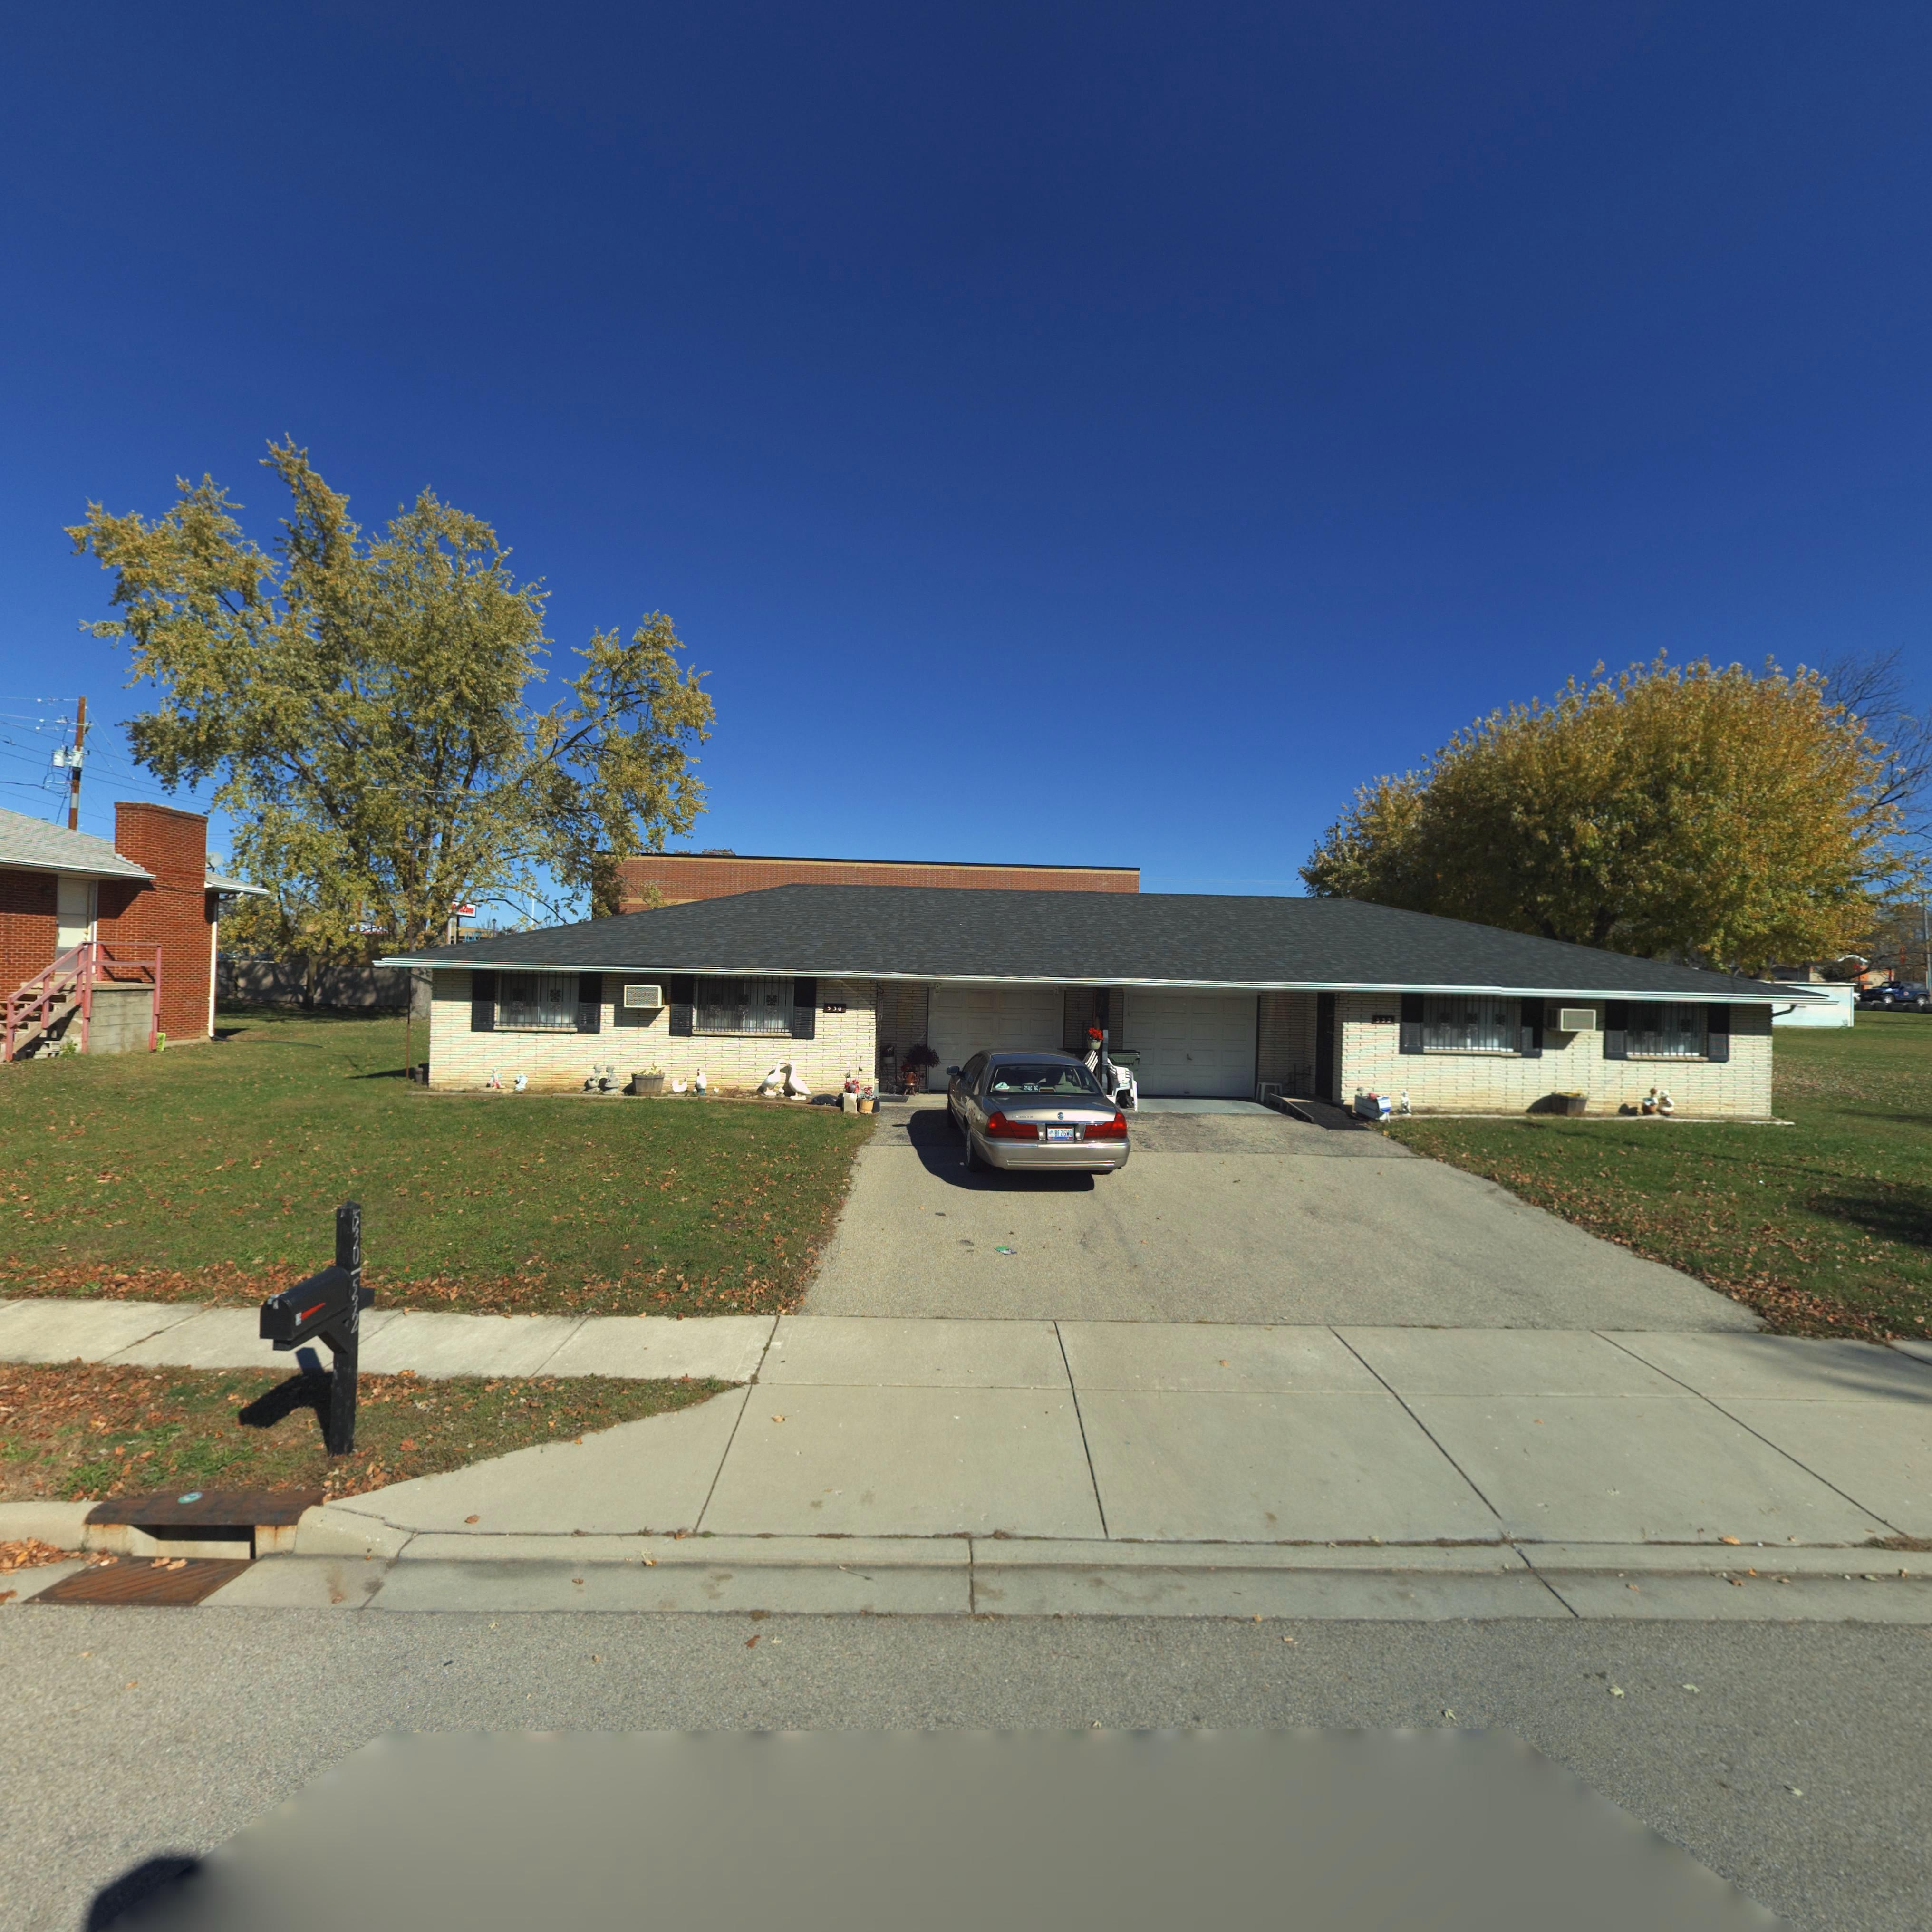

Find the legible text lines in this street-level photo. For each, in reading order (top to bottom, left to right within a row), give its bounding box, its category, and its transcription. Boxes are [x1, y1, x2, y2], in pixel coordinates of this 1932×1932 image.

[827, 1005, 842, 1012] StreetNumber: 530
[1375, 1017, 1391, 1023] StreetNumber: 532
[351, 1208, 361, 1266] StreetNumber: 530
[350, 1275, 360, 1335] StreetNumber: 532